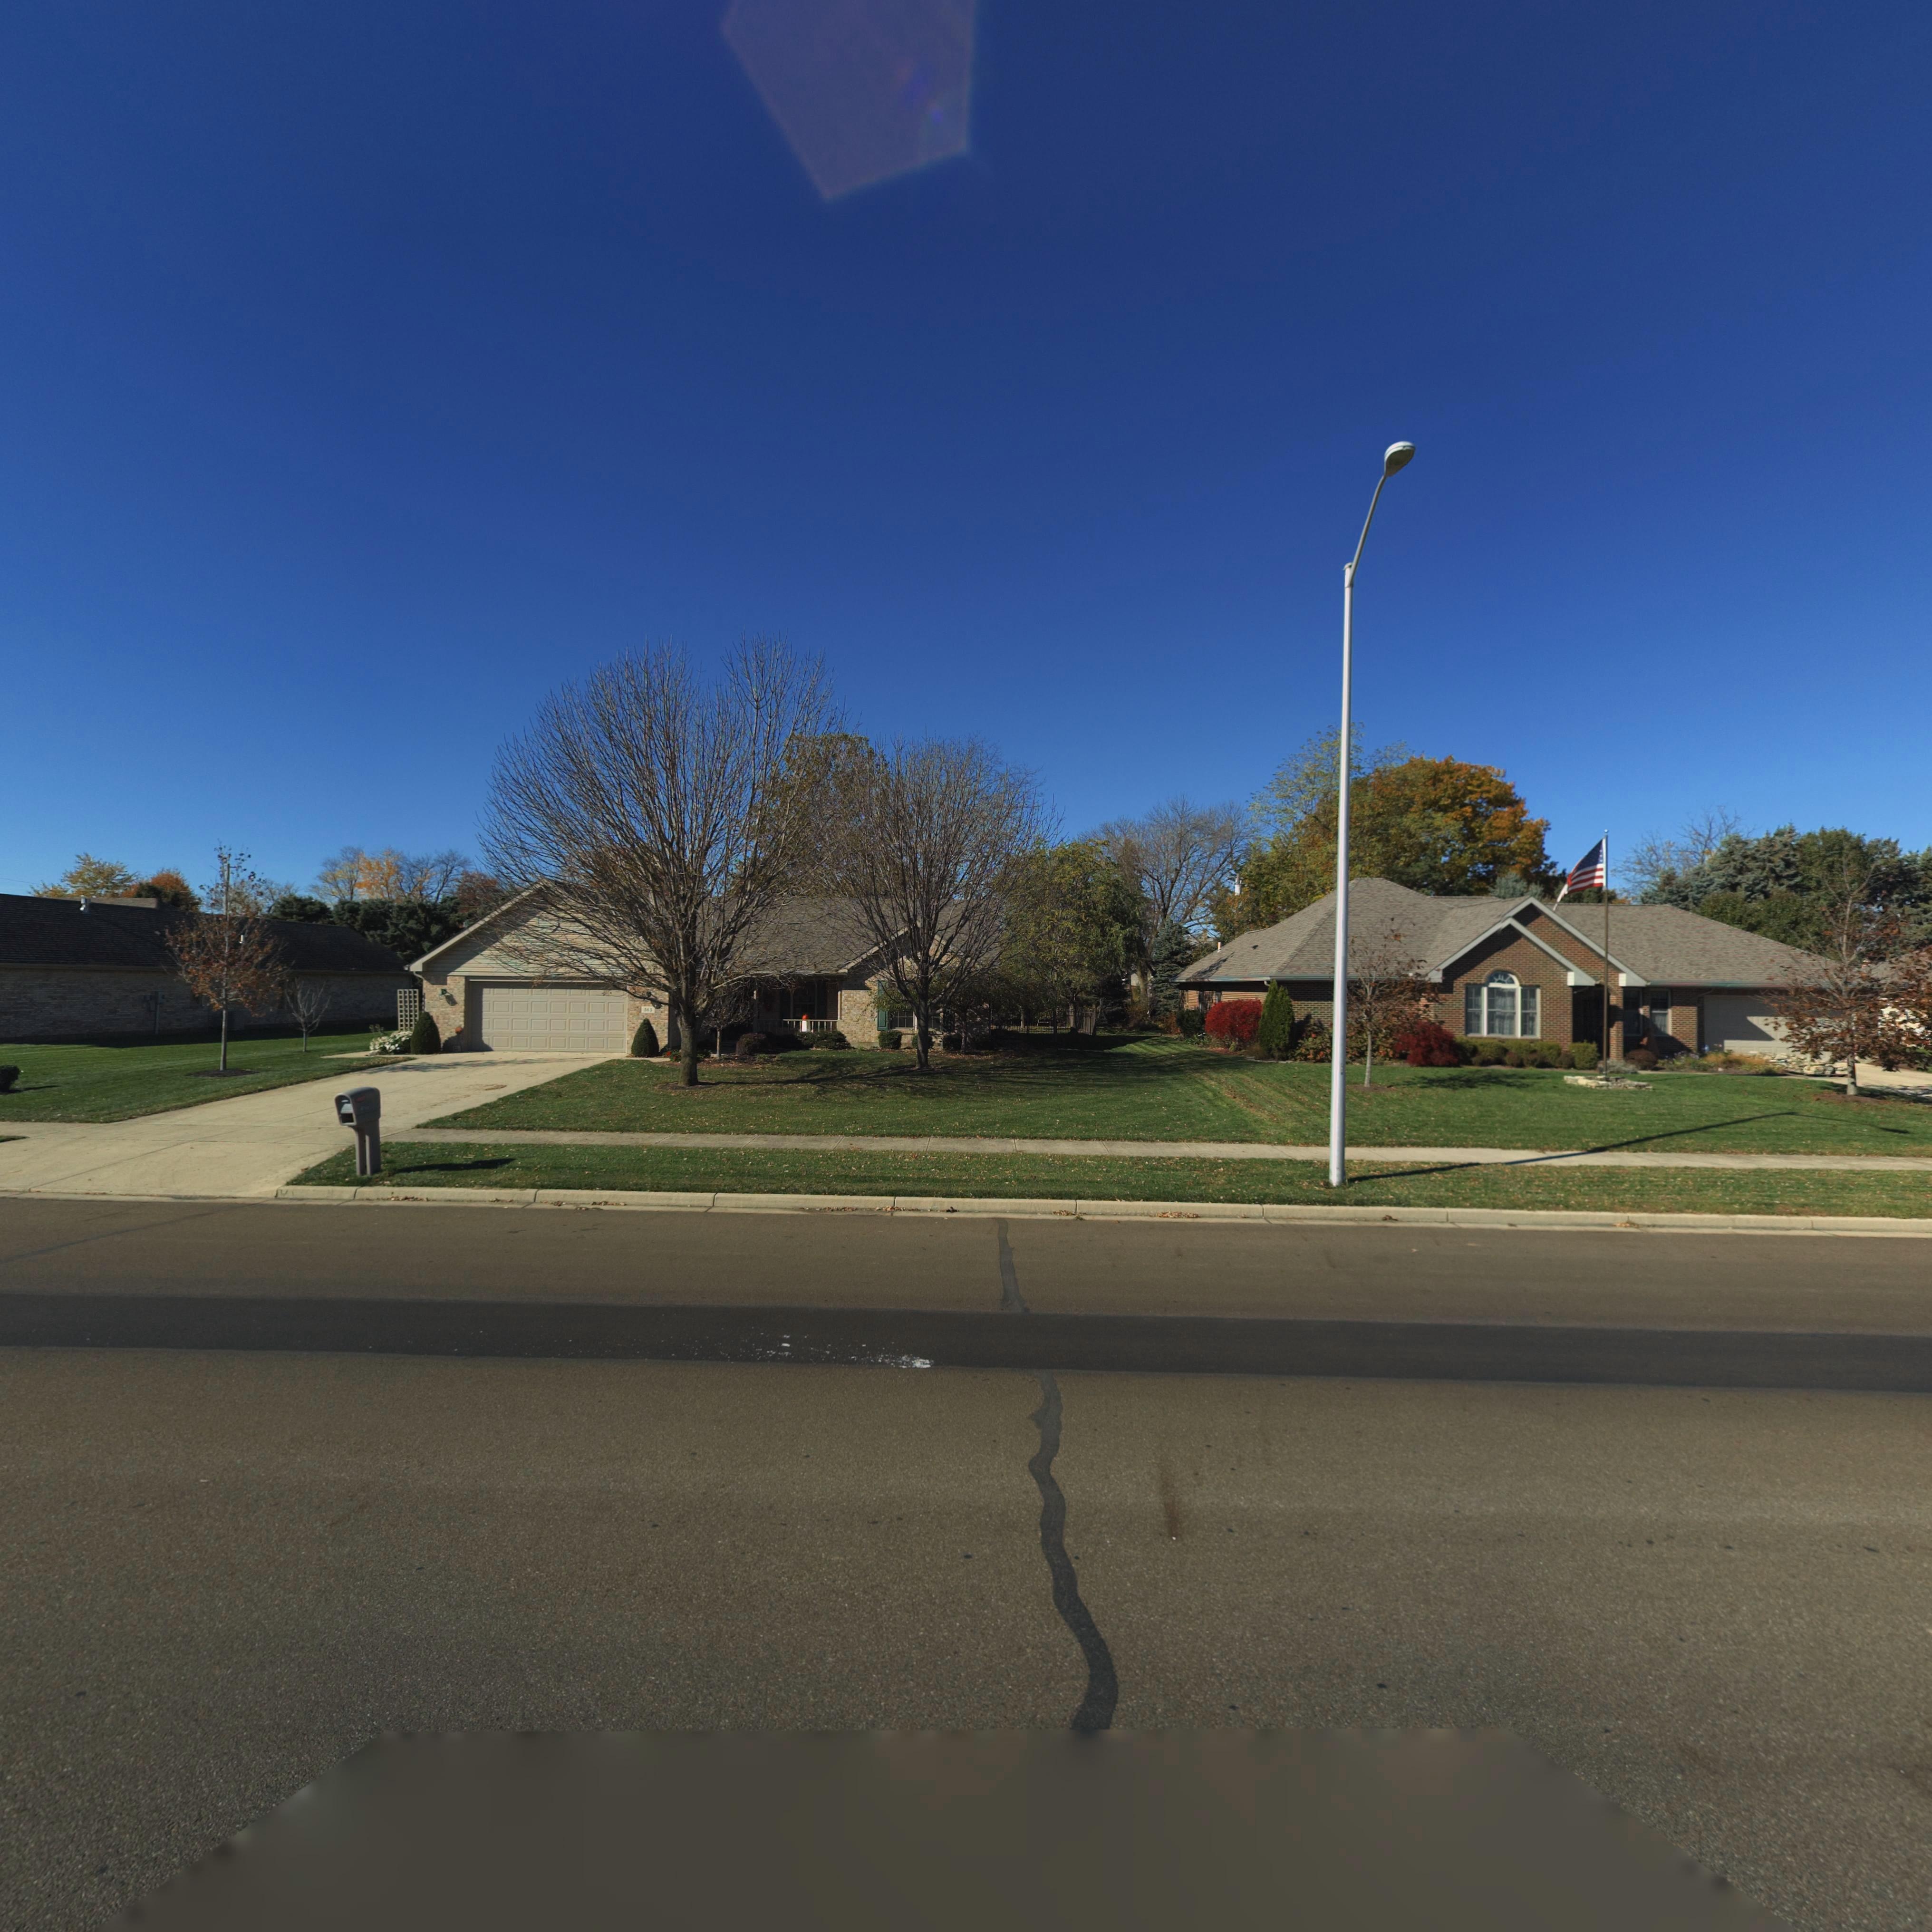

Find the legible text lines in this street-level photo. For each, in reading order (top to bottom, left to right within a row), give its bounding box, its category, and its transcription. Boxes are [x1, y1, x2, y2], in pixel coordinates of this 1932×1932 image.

[643, 1007, 653, 1012] StreetNumber: 365